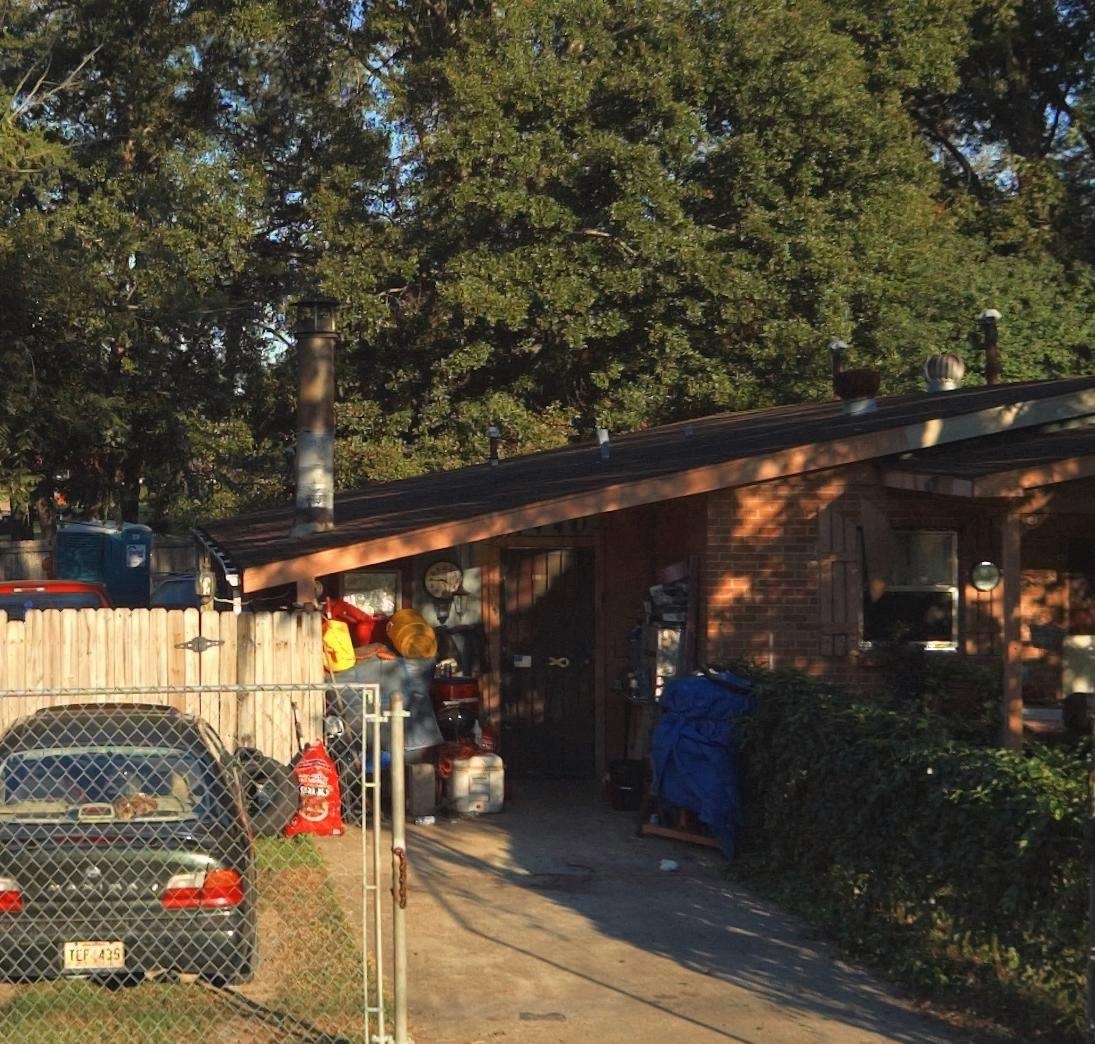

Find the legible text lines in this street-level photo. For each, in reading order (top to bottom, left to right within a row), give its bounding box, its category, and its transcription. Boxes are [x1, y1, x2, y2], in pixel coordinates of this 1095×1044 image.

[47, 881, 138, 892] None: MAXIMA
[66, 949, 122, 961] None: T** 435